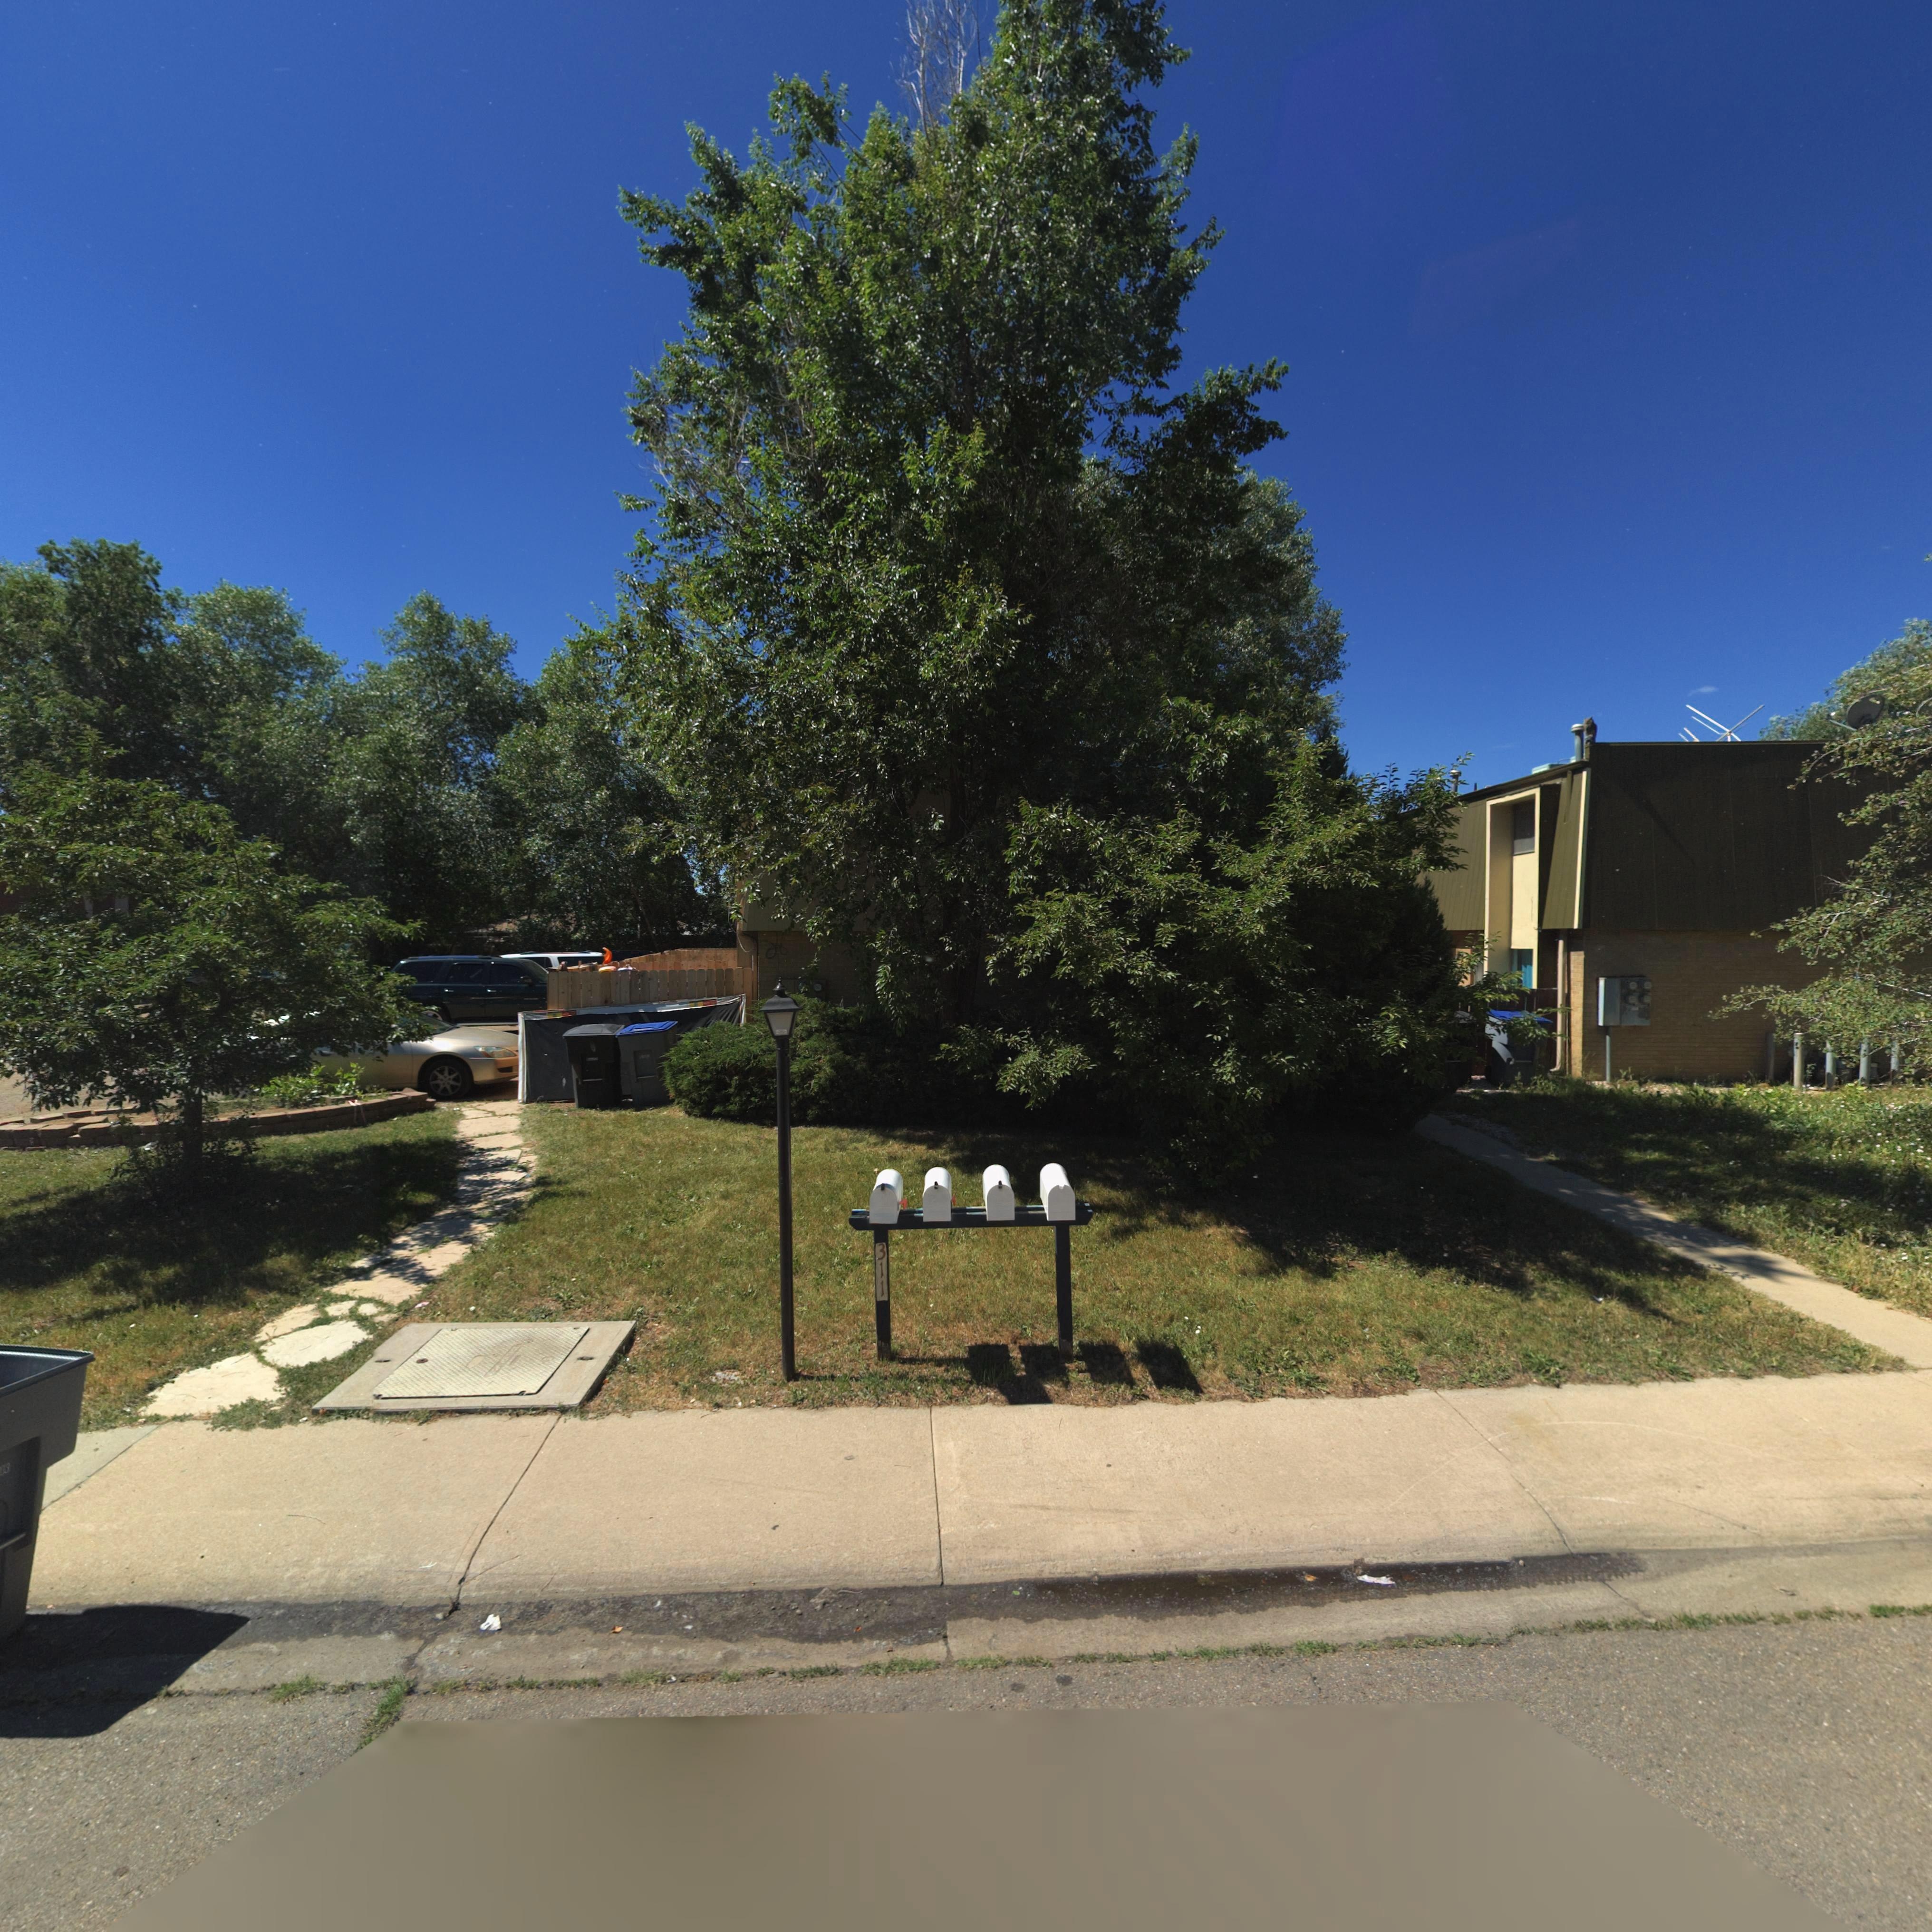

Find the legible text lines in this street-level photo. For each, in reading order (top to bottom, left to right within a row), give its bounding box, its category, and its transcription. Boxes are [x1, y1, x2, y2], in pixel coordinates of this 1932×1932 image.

[876, 1242, 887, 1298] StreetNumber: 311